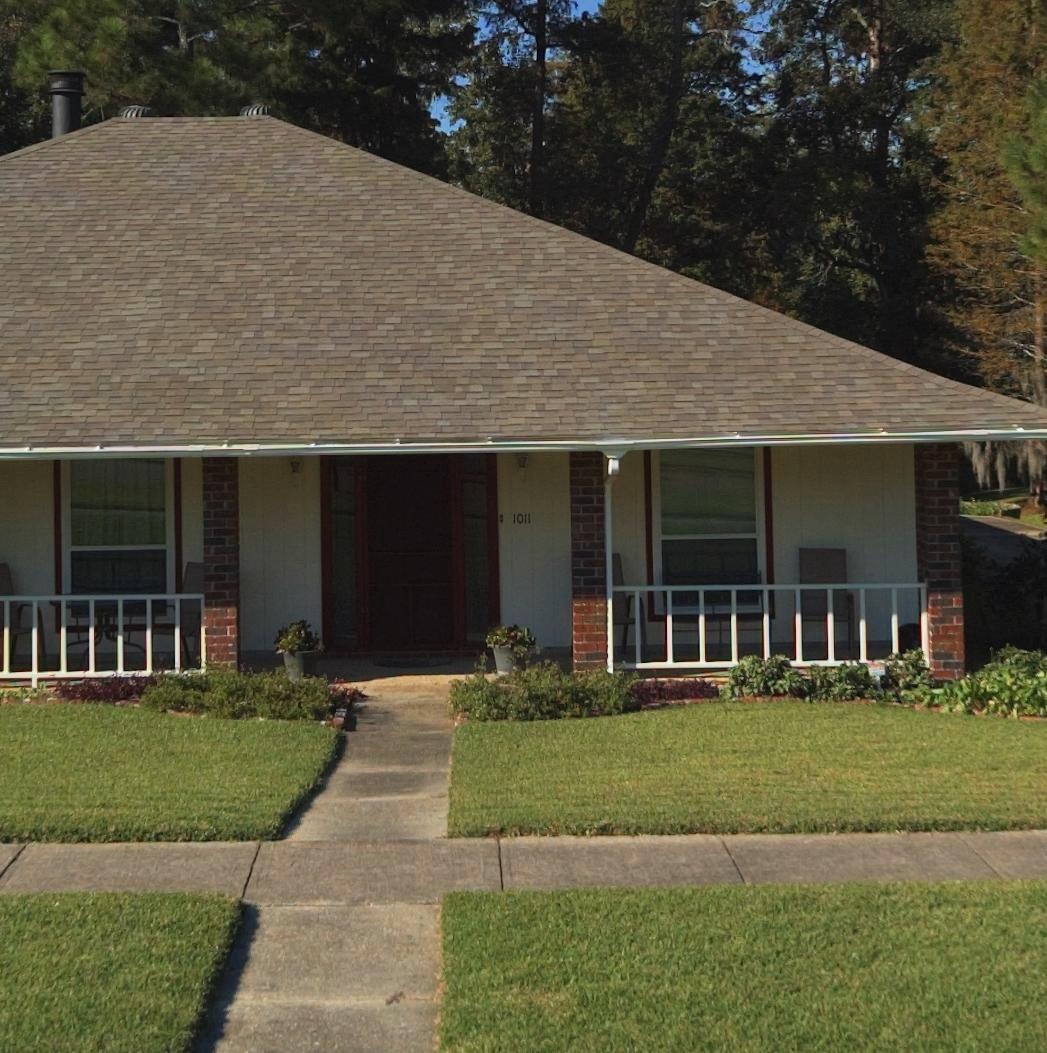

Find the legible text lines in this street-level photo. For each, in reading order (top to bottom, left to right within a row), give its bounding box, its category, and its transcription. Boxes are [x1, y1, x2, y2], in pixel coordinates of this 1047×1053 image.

[511, 511, 533, 526] StreetNumber: 1011